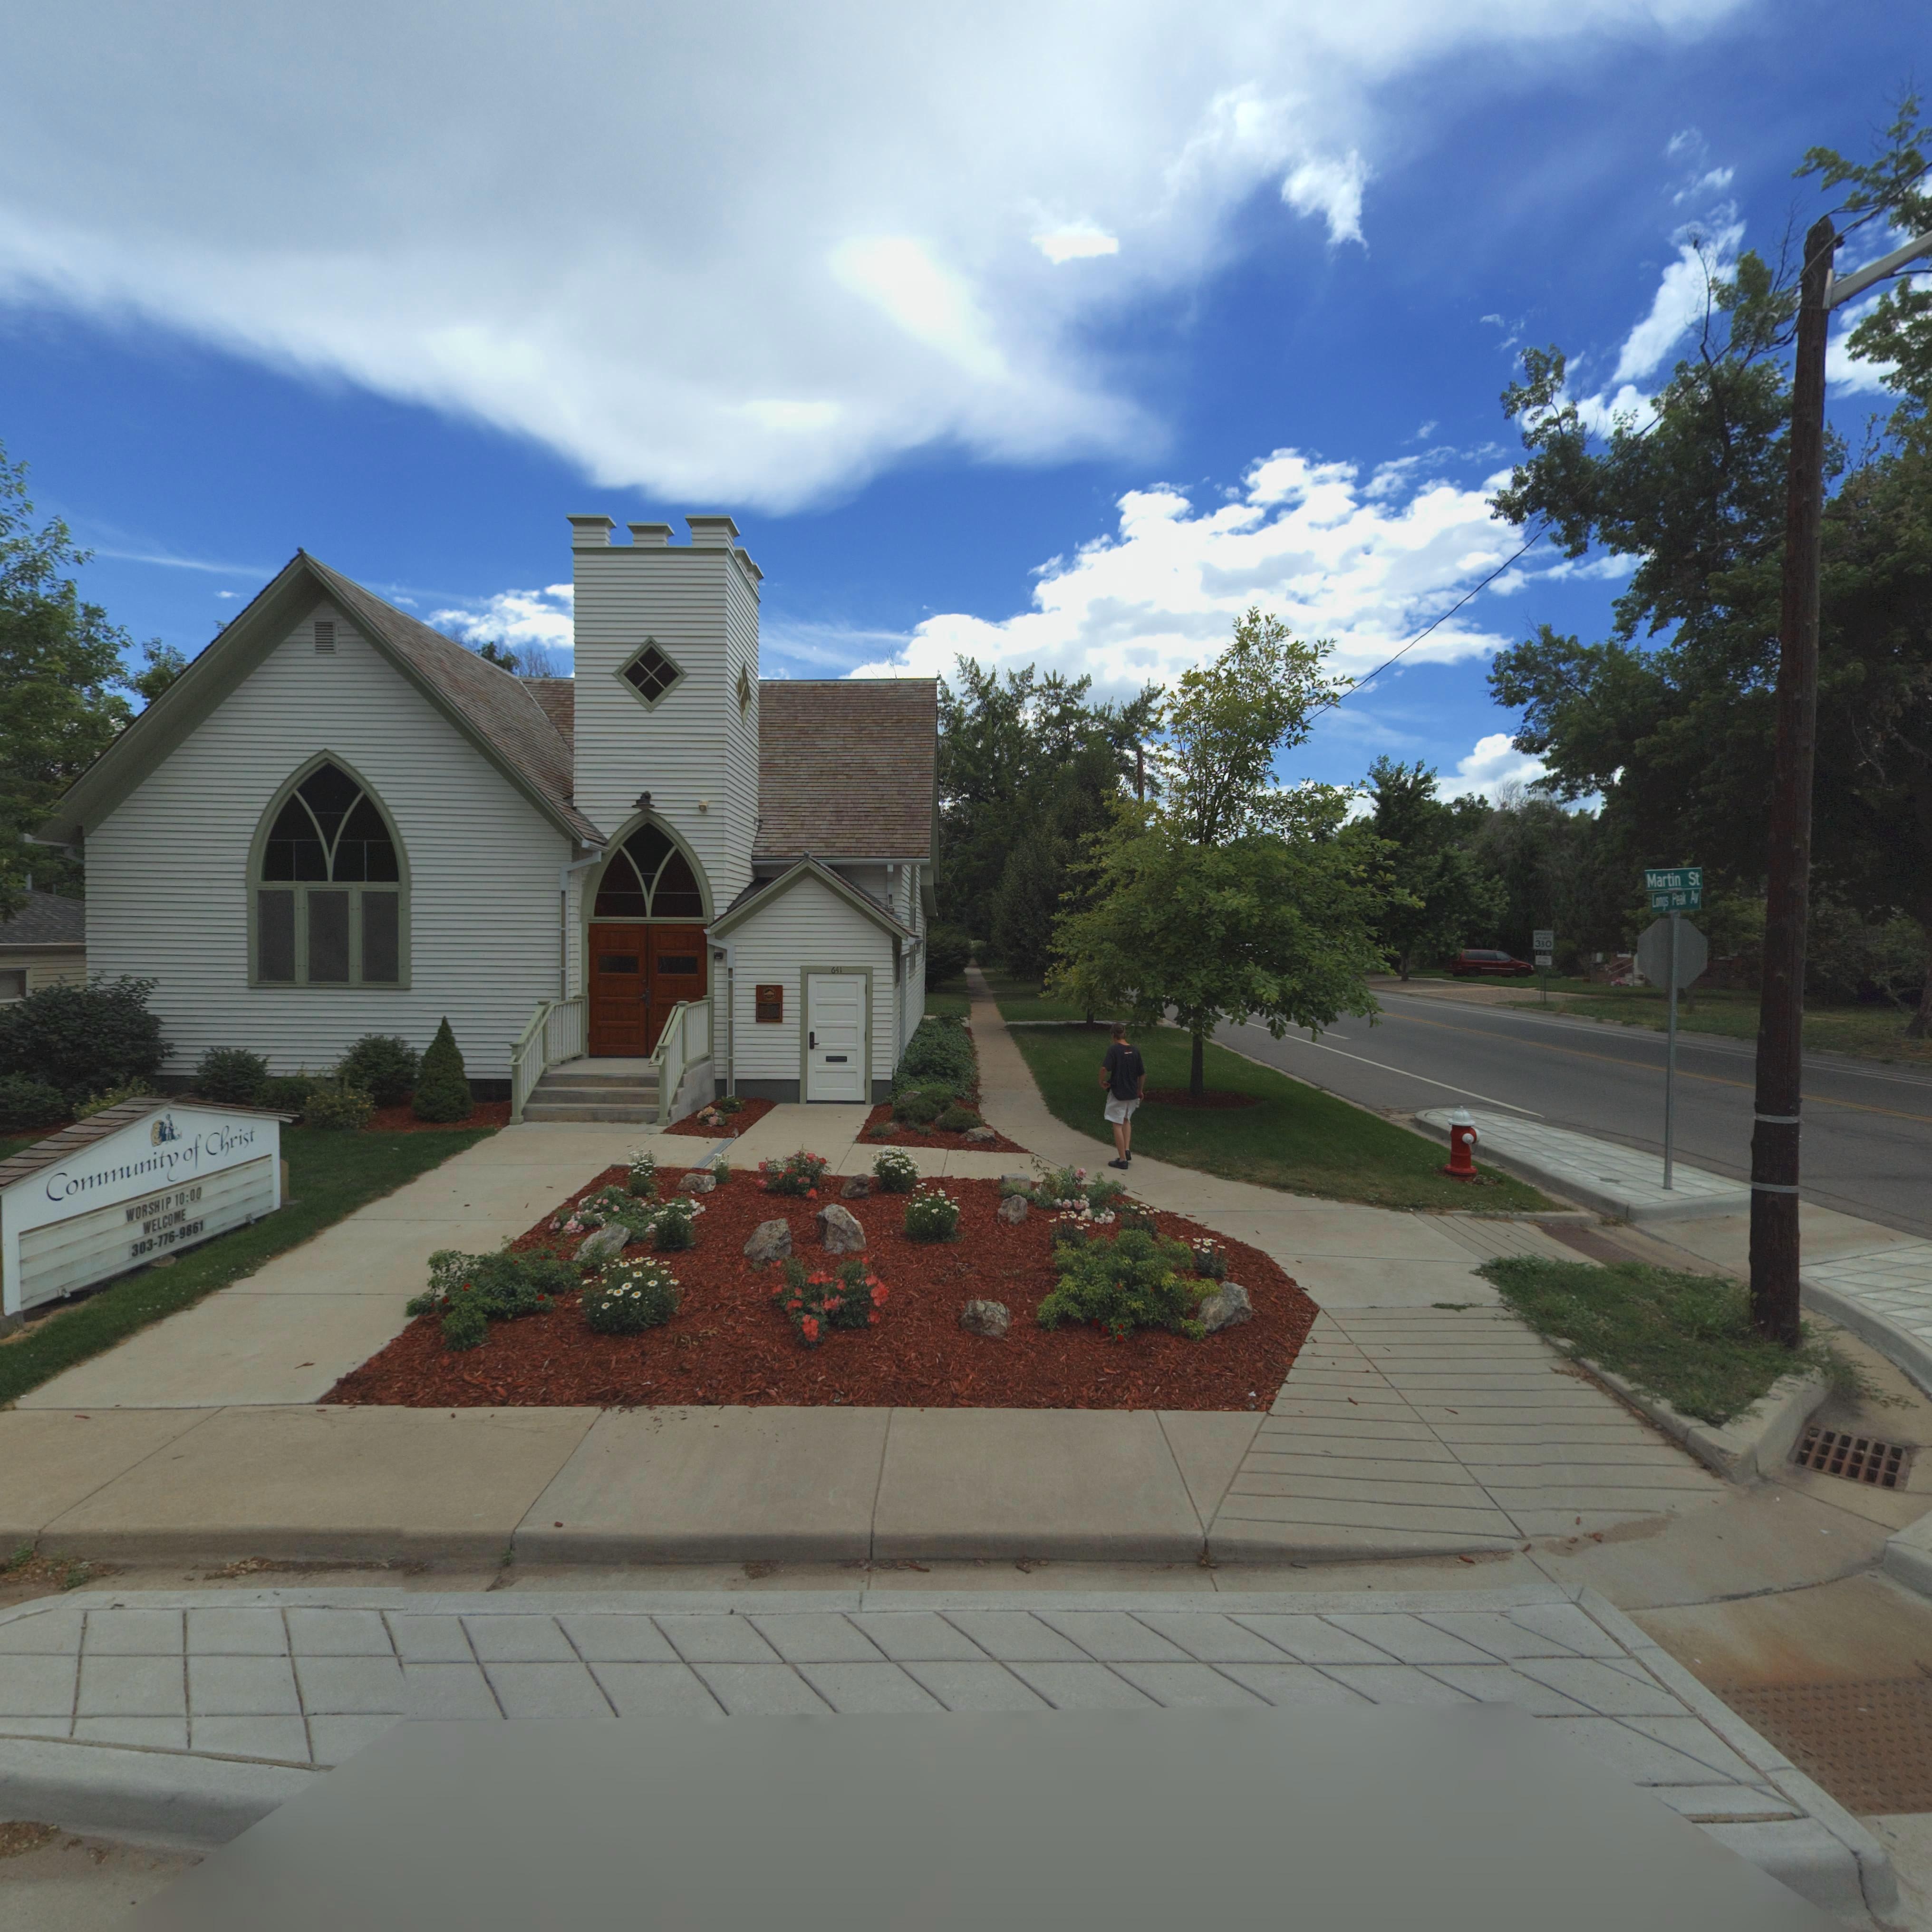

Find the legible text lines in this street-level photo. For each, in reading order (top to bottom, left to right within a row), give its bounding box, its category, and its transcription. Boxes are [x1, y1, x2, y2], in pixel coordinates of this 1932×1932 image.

[1646, 871, 1700, 889] StreetName: Martin St
[1652, 890, 1699, 911] StreetName: Longs Peak Av
[831, 966, 842, 974] StreetNumber: 641
[45, 1124, 257, 1204] BusinessName: Community of Christ